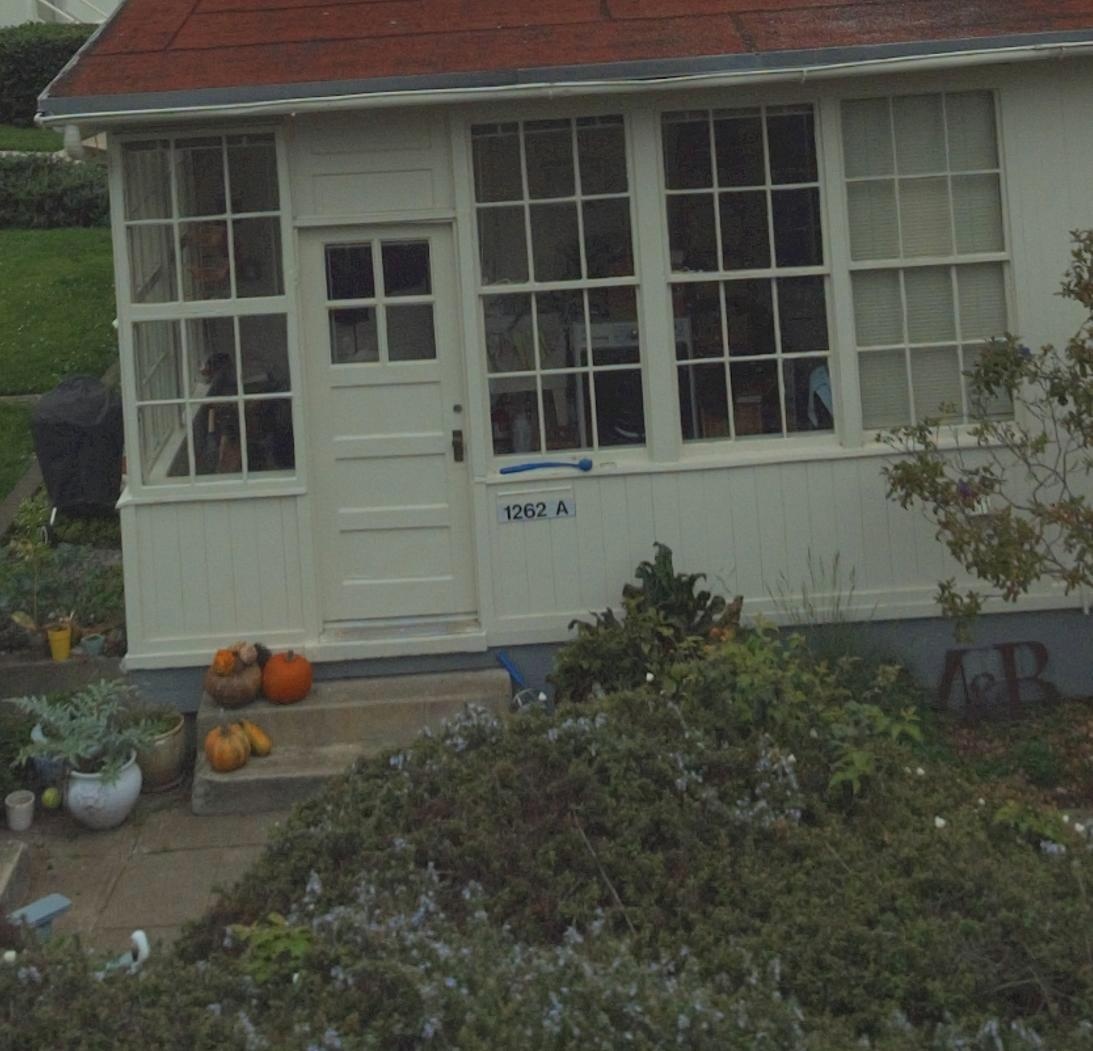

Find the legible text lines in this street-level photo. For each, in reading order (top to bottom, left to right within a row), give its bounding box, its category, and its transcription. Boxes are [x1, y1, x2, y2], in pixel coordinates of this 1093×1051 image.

[502, 498, 573, 521] StreetNumber: 1262 A